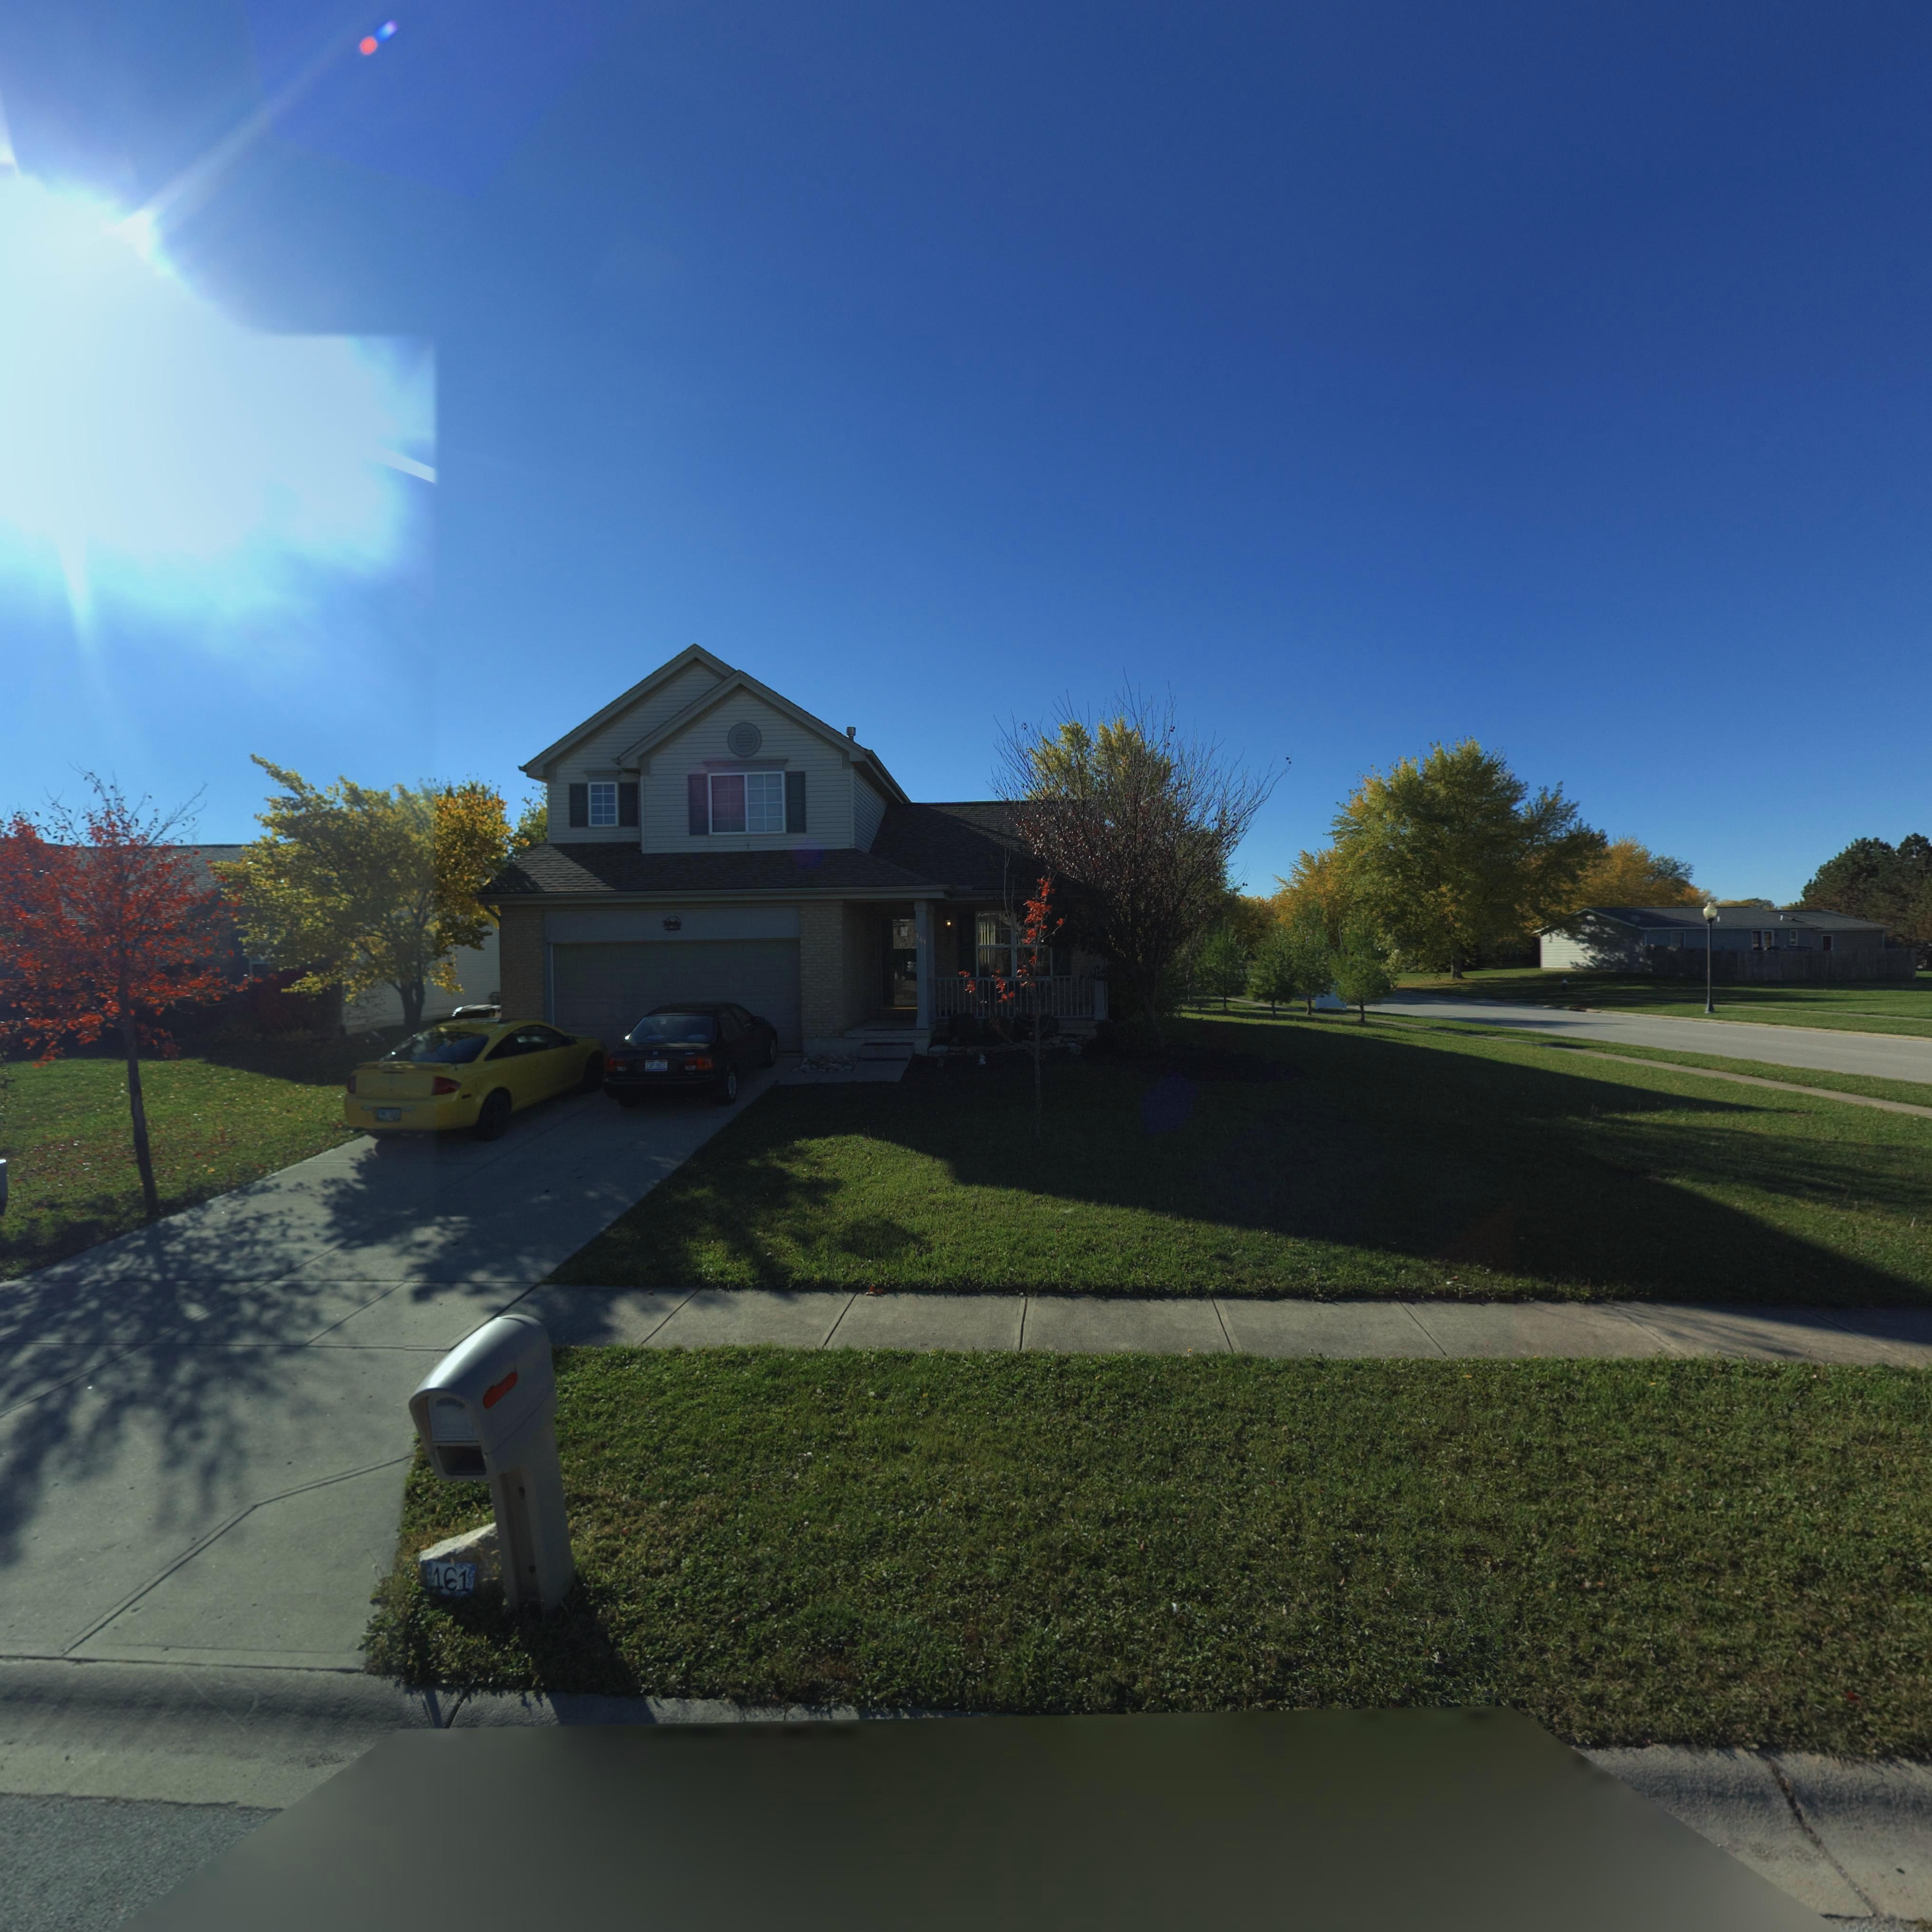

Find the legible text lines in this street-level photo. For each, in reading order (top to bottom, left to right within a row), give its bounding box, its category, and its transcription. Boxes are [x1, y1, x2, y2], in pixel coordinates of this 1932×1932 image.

[916, 932, 926, 945] StreetNumber: 161
[431, 1565, 473, 1593] StreetNumber: 161